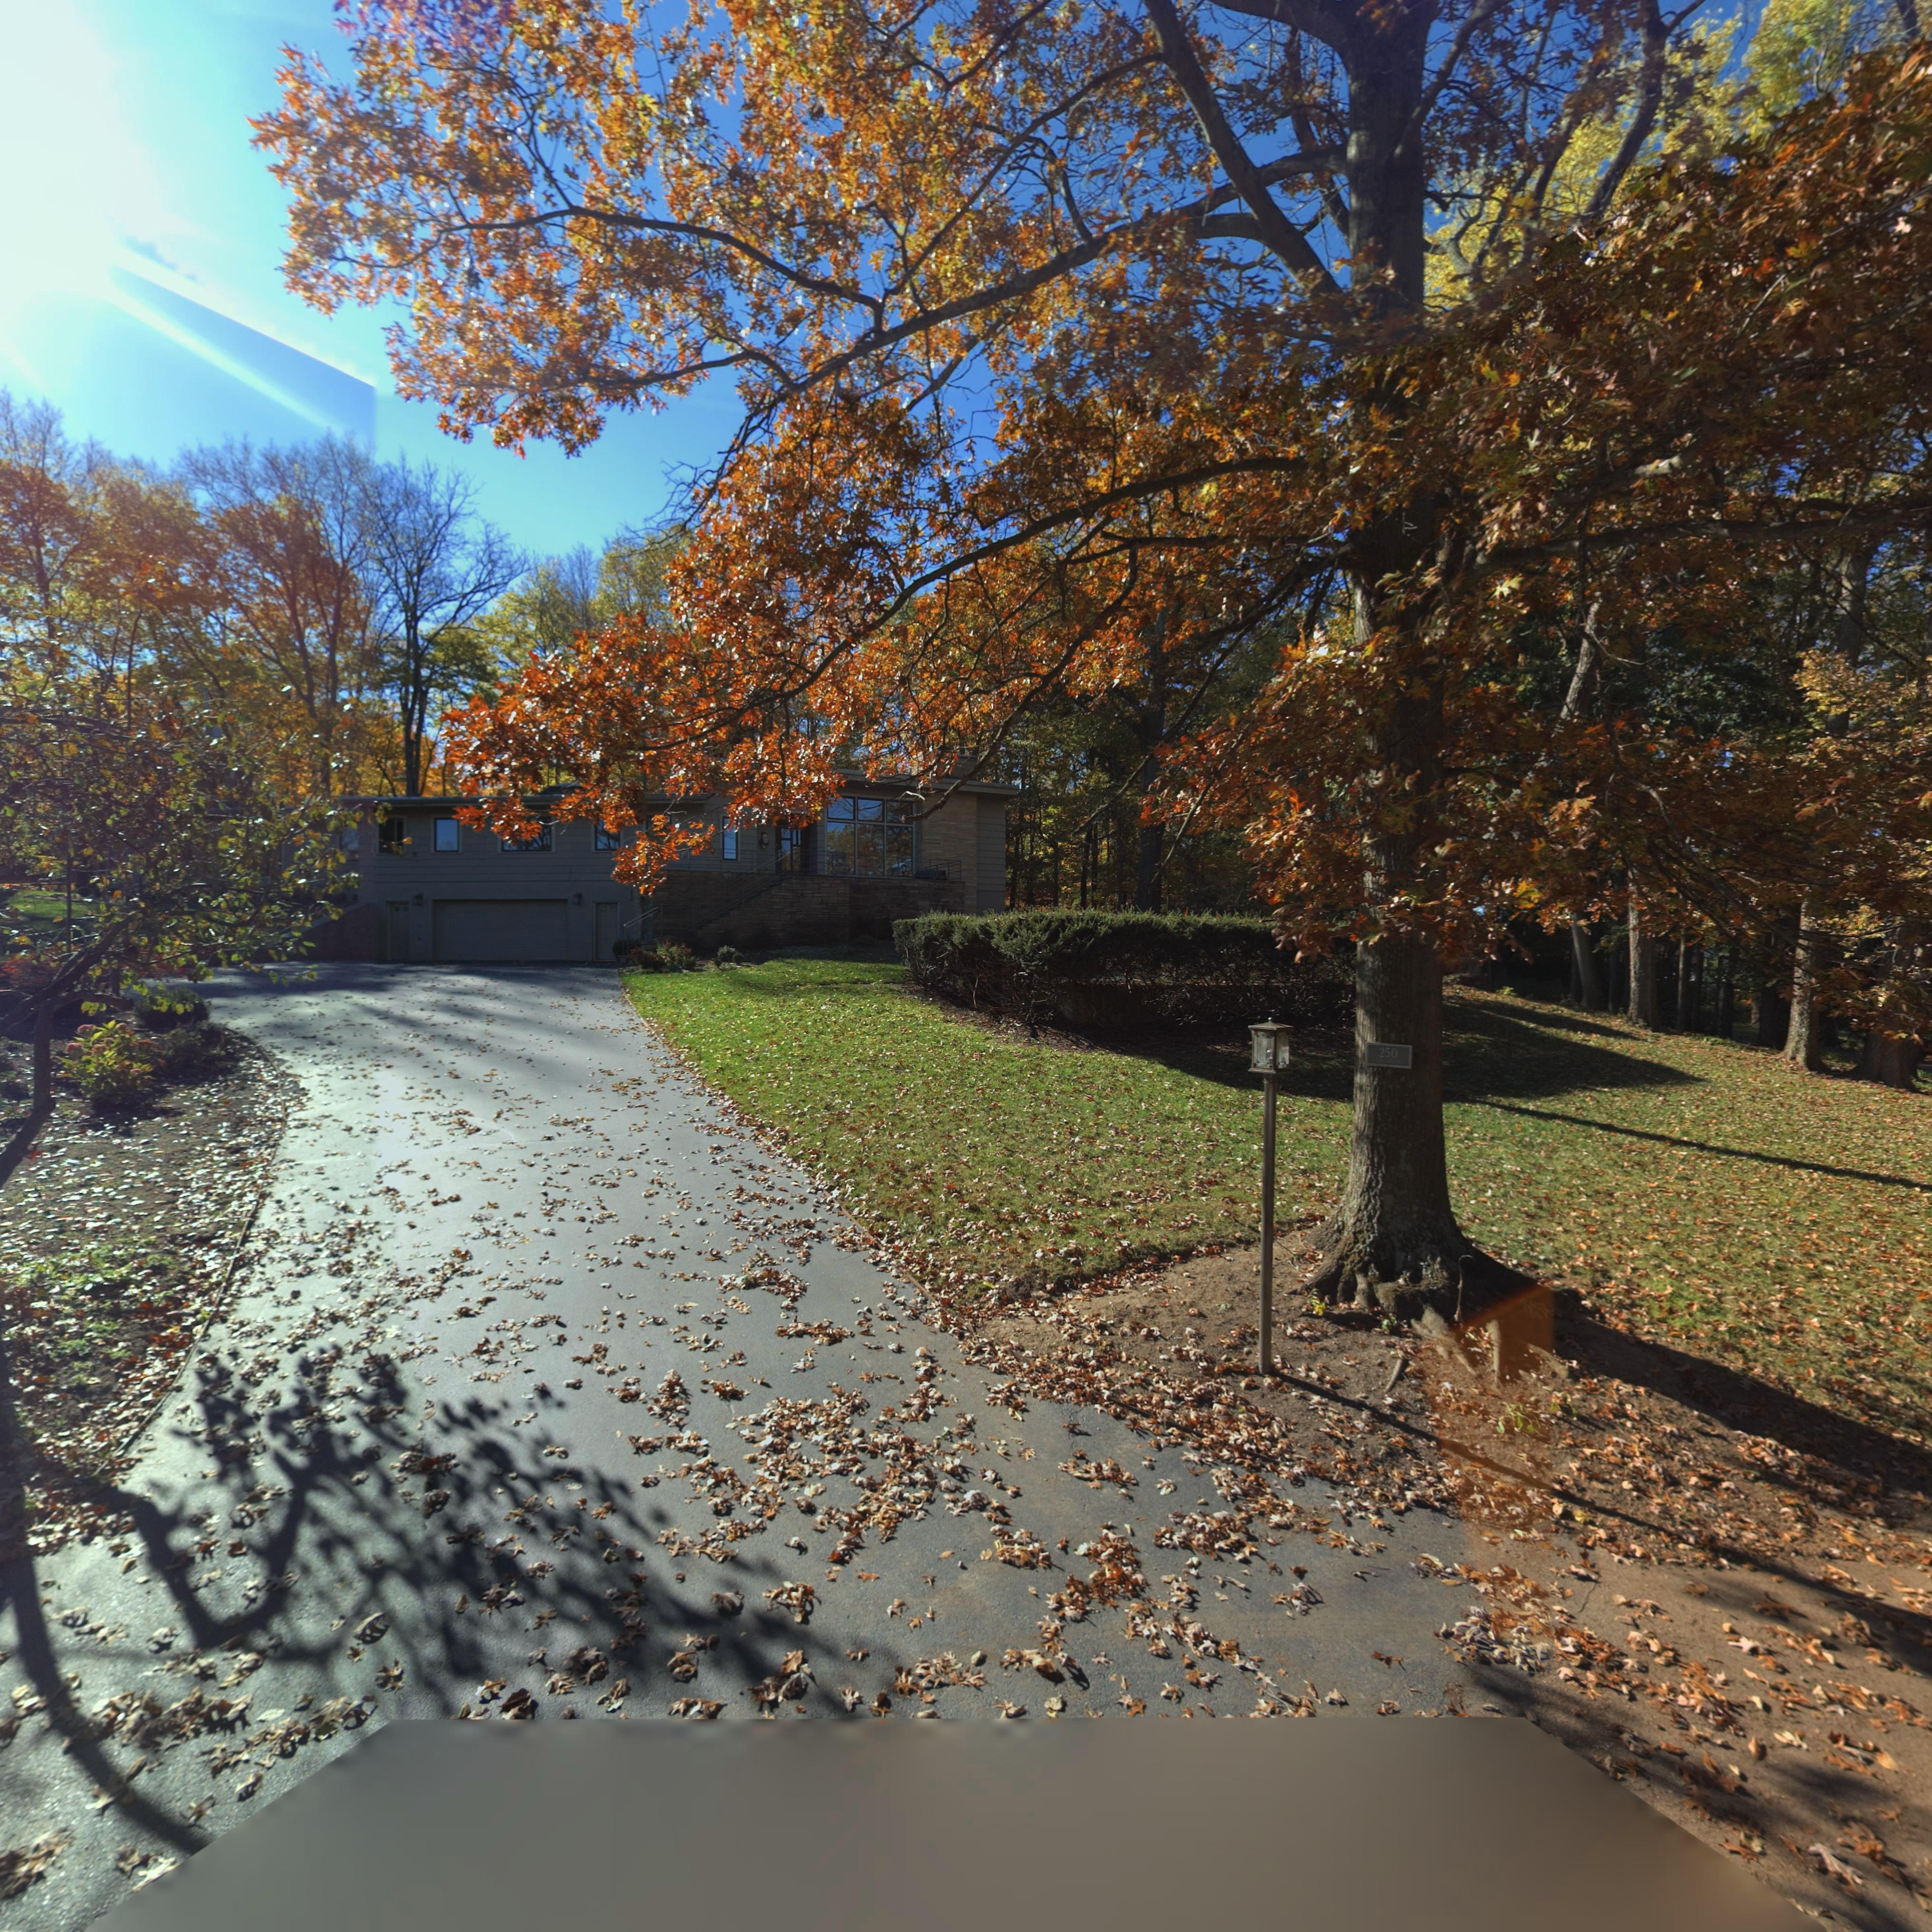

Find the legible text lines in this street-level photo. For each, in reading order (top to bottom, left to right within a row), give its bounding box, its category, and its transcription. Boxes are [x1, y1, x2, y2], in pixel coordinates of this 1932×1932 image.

[1377, 1045, 1400, 1061] StreetNumber: 250